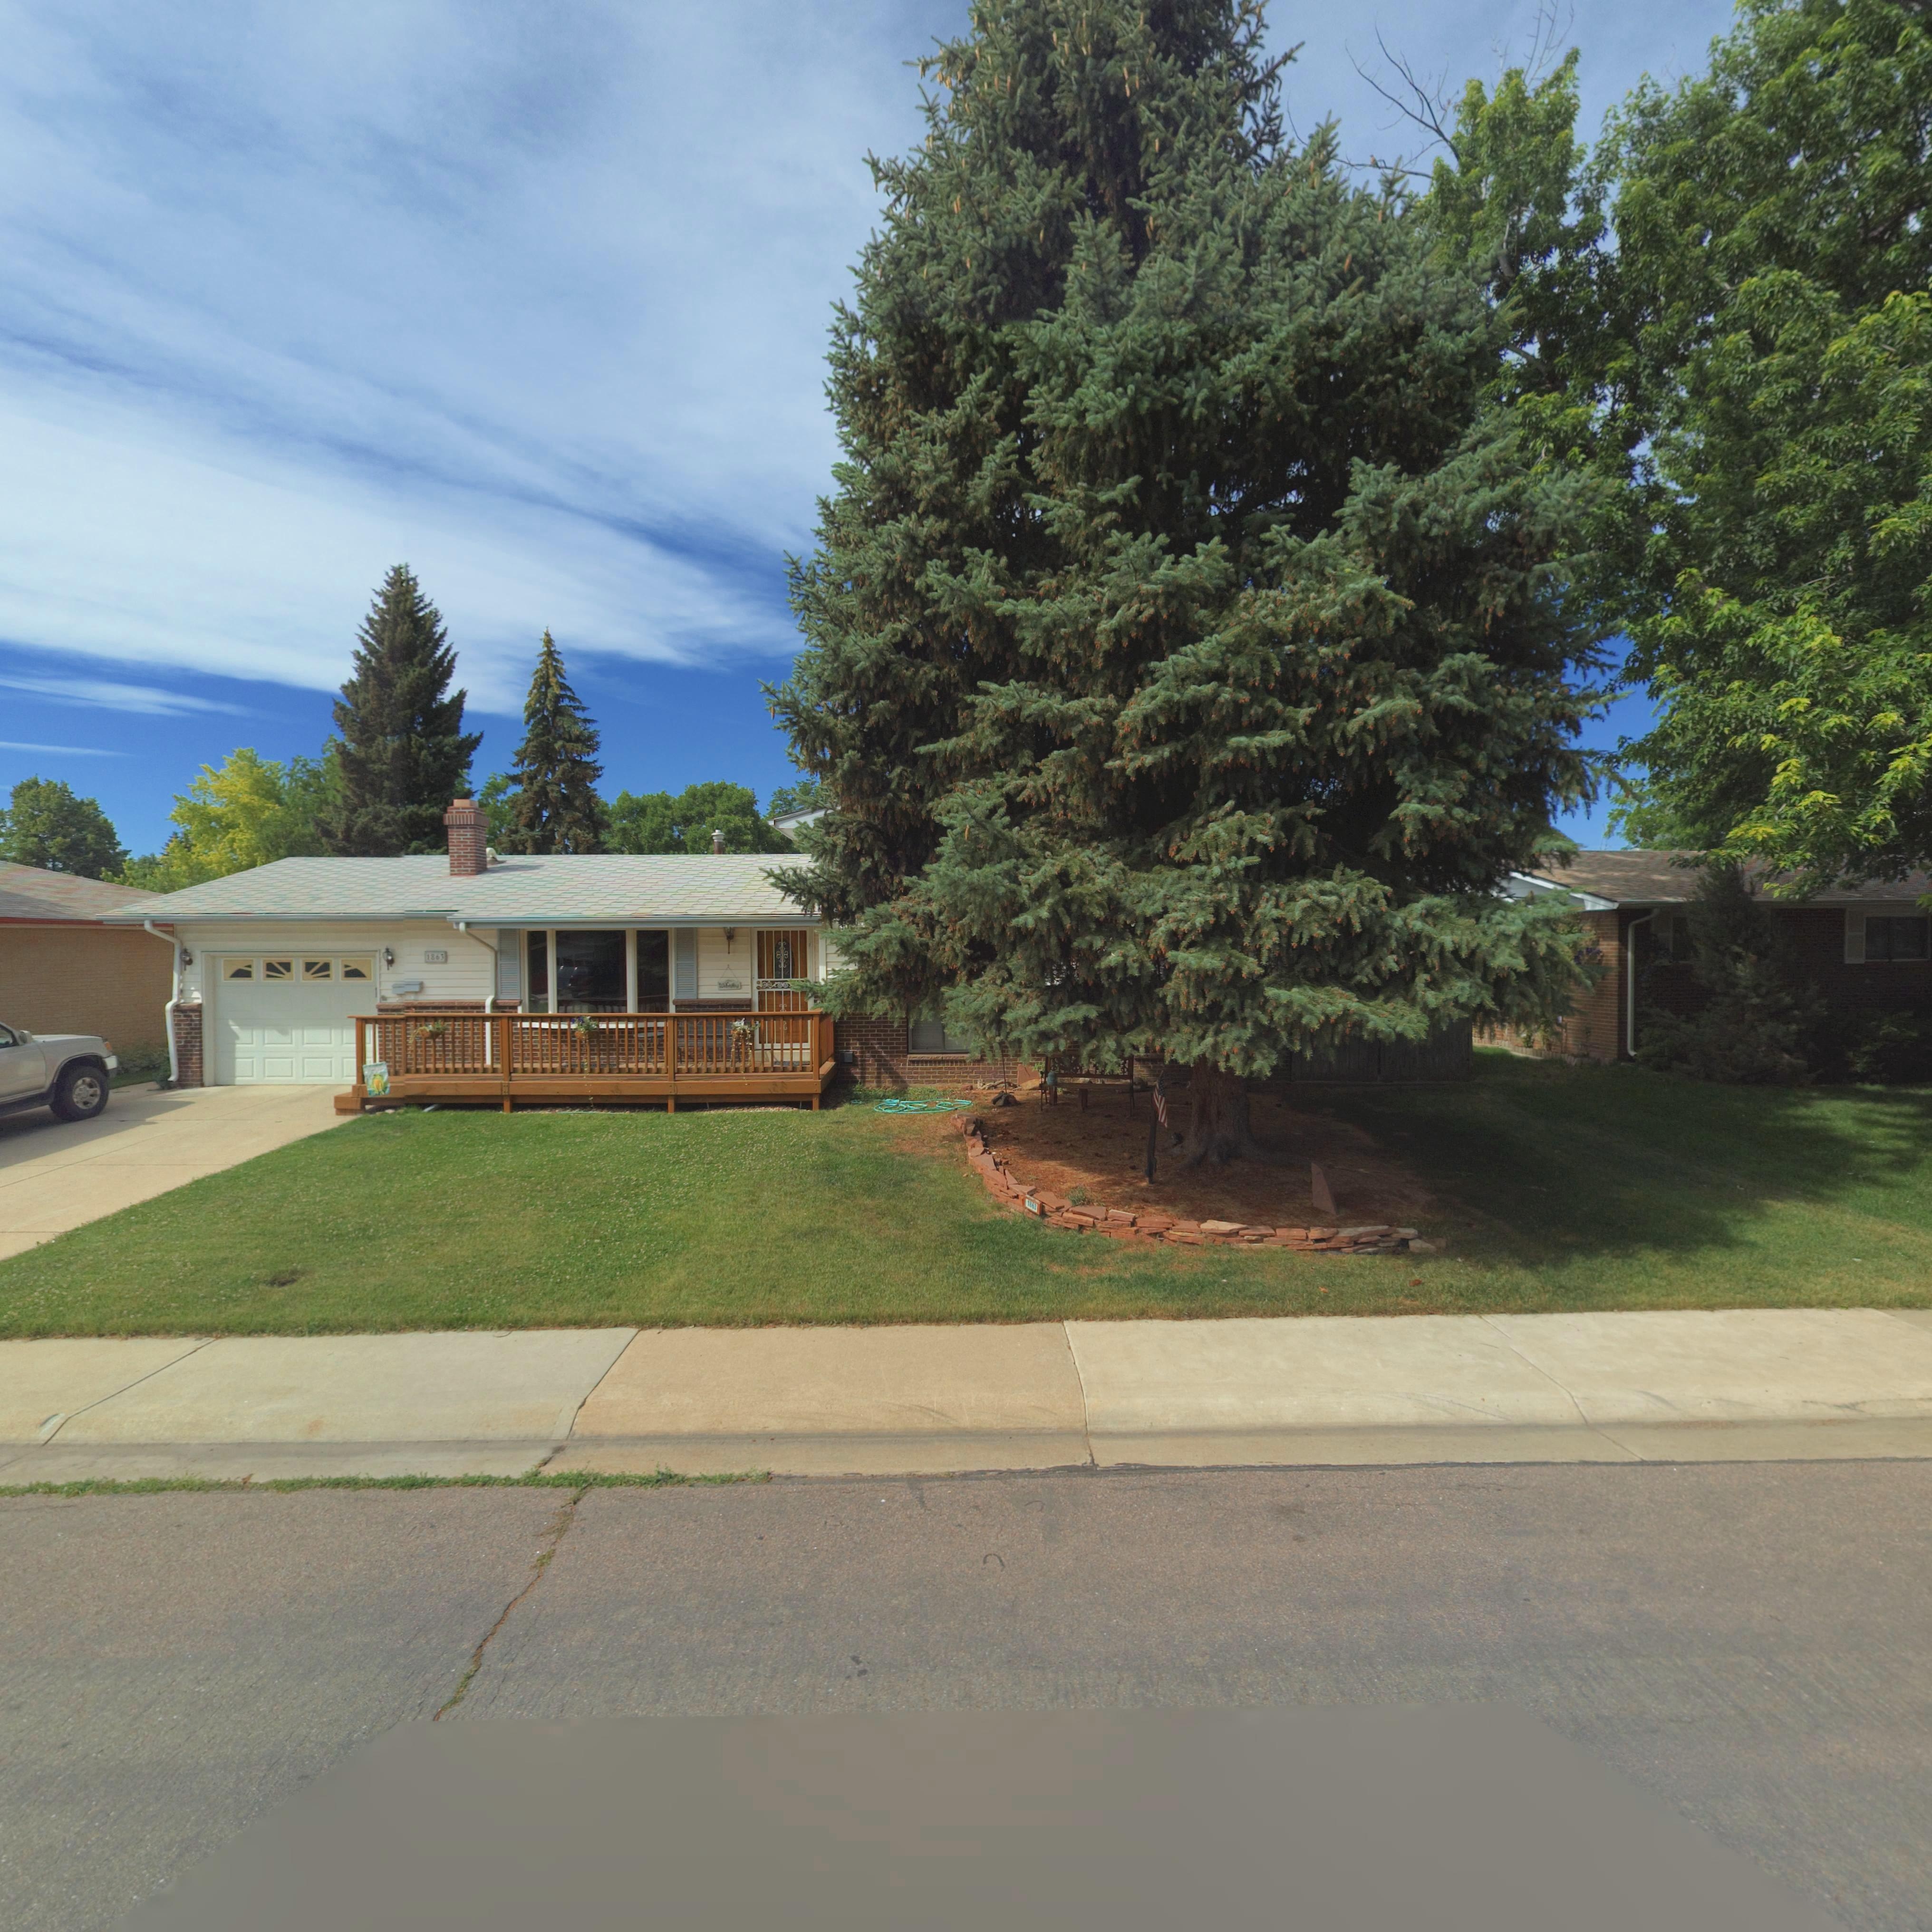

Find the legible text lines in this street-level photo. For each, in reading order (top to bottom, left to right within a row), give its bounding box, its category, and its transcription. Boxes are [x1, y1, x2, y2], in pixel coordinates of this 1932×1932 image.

[426, 953, 444, 960] StreetNumber: 1863